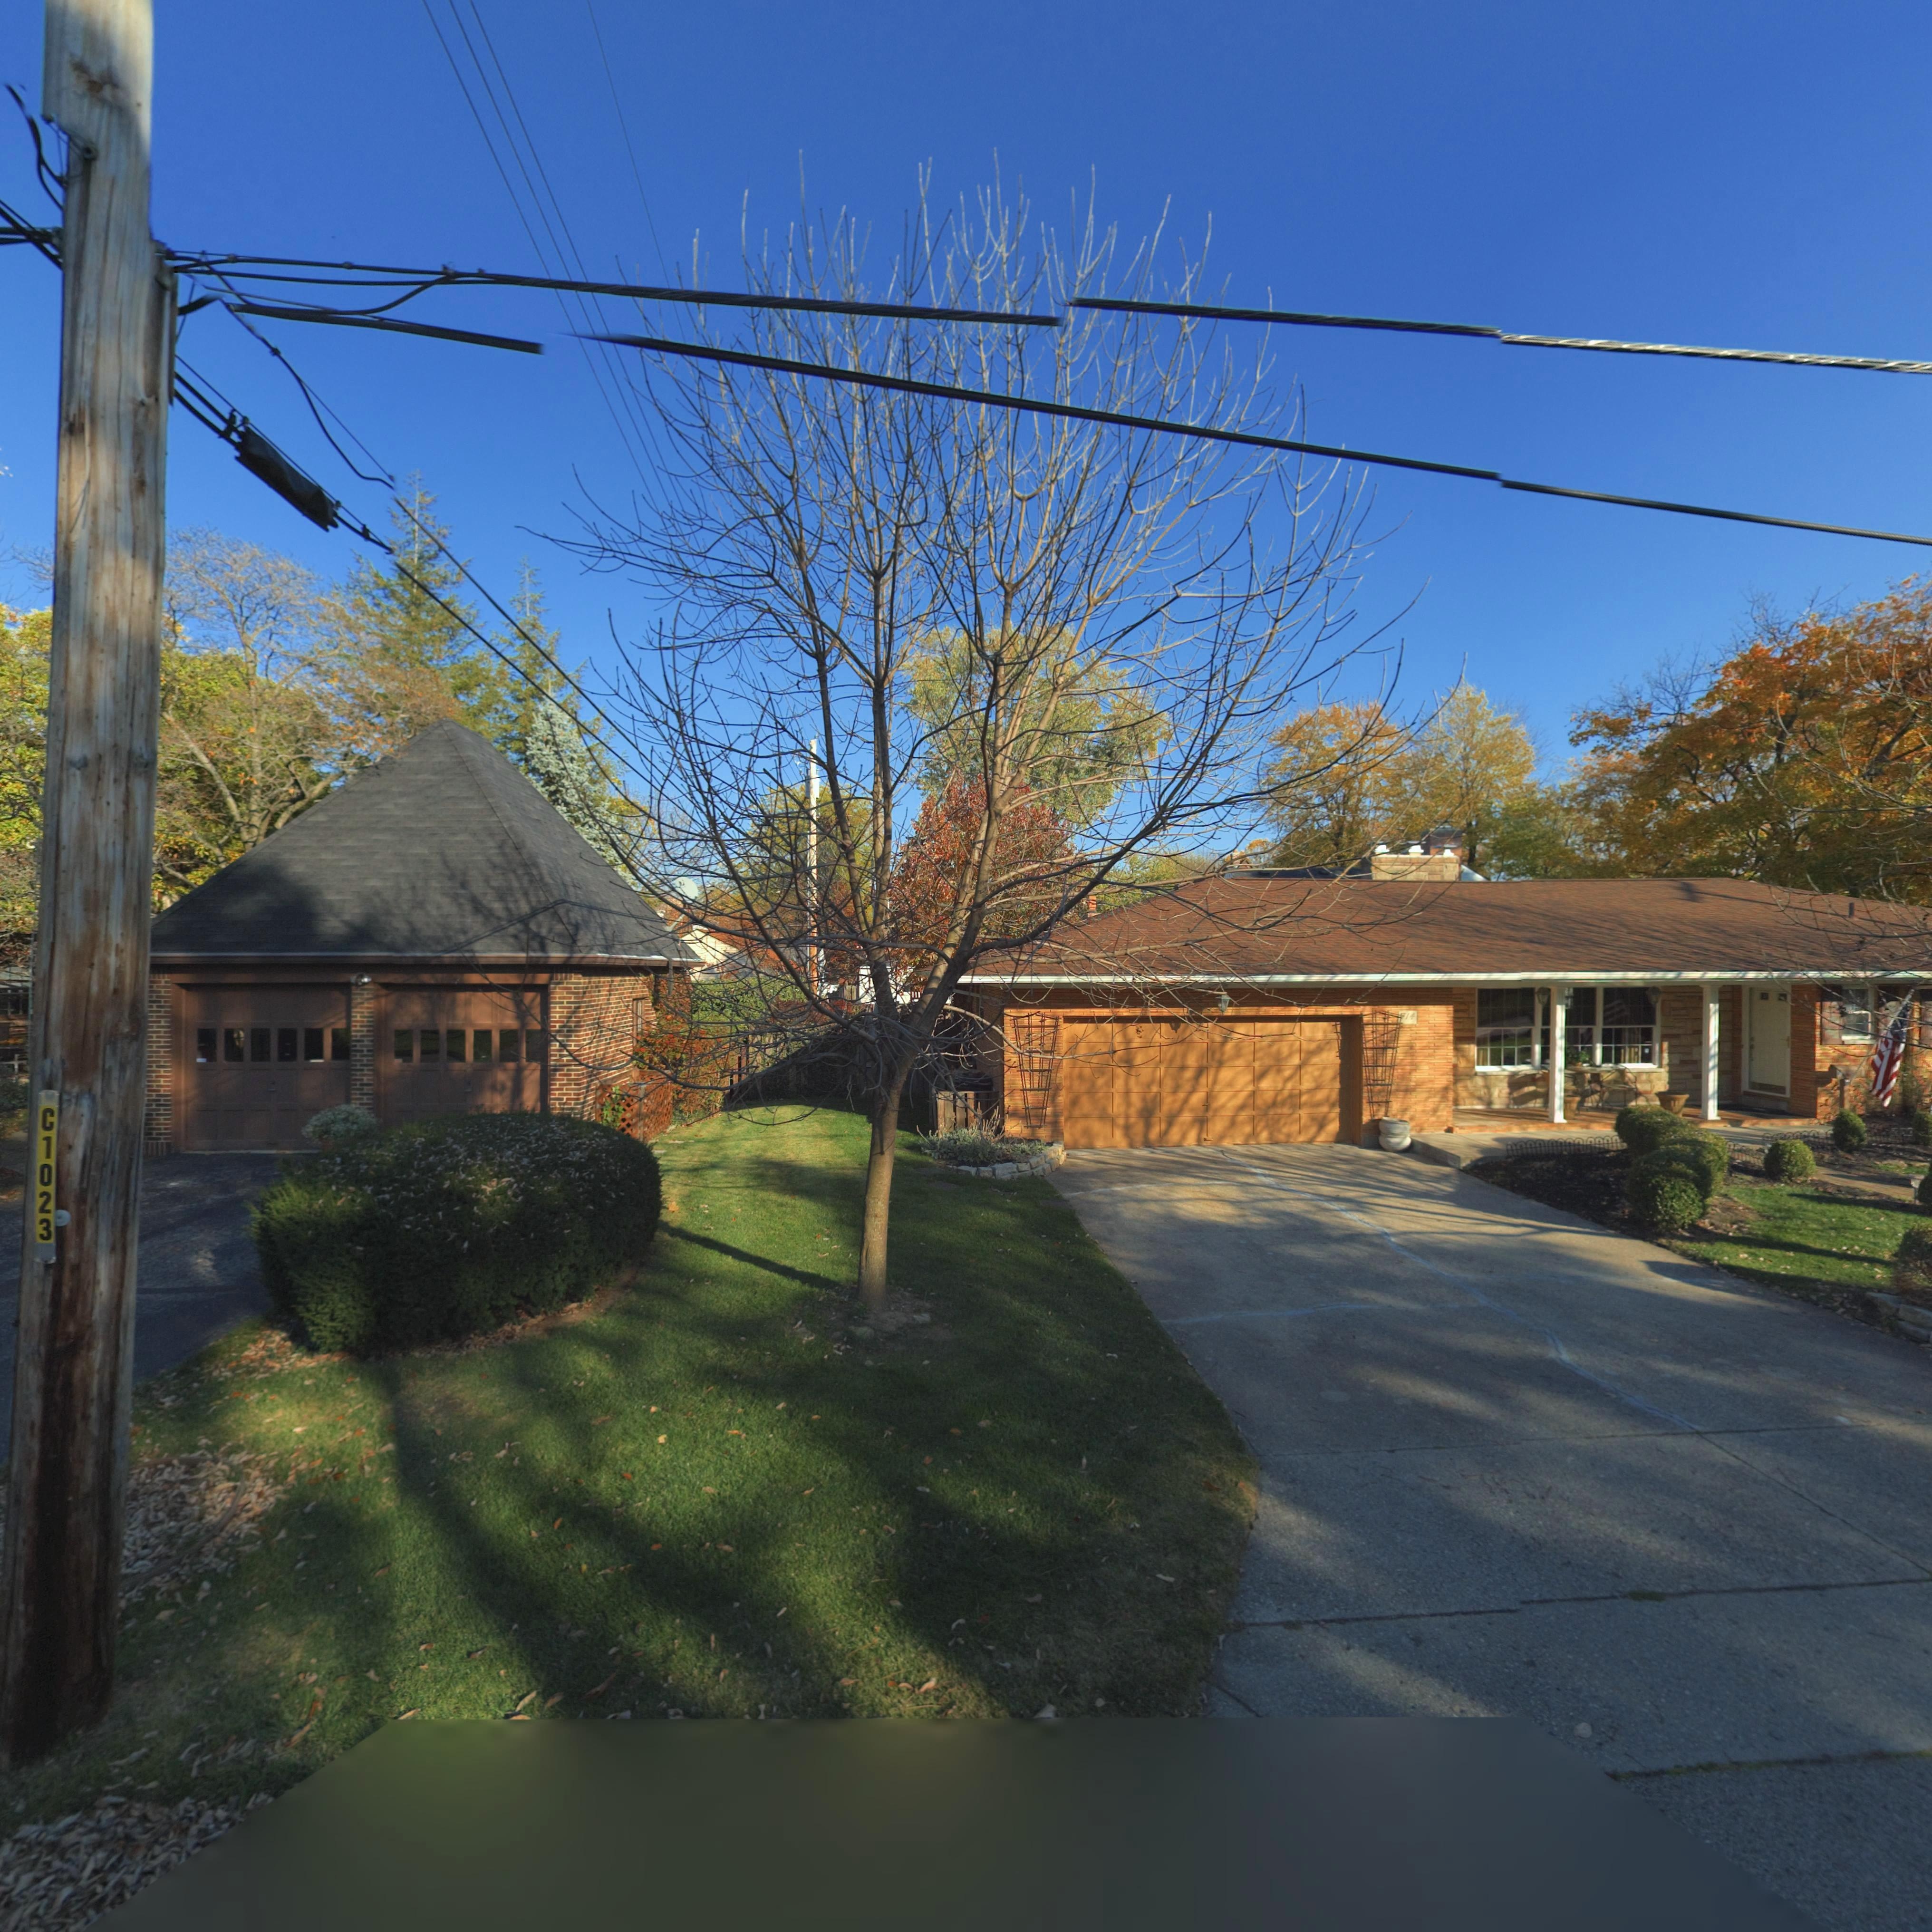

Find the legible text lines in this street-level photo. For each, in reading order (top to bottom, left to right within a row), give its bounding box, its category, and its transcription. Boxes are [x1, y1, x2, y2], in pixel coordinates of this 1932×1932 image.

[1400, 1013, 1415, 1020] StreetNumber: *14